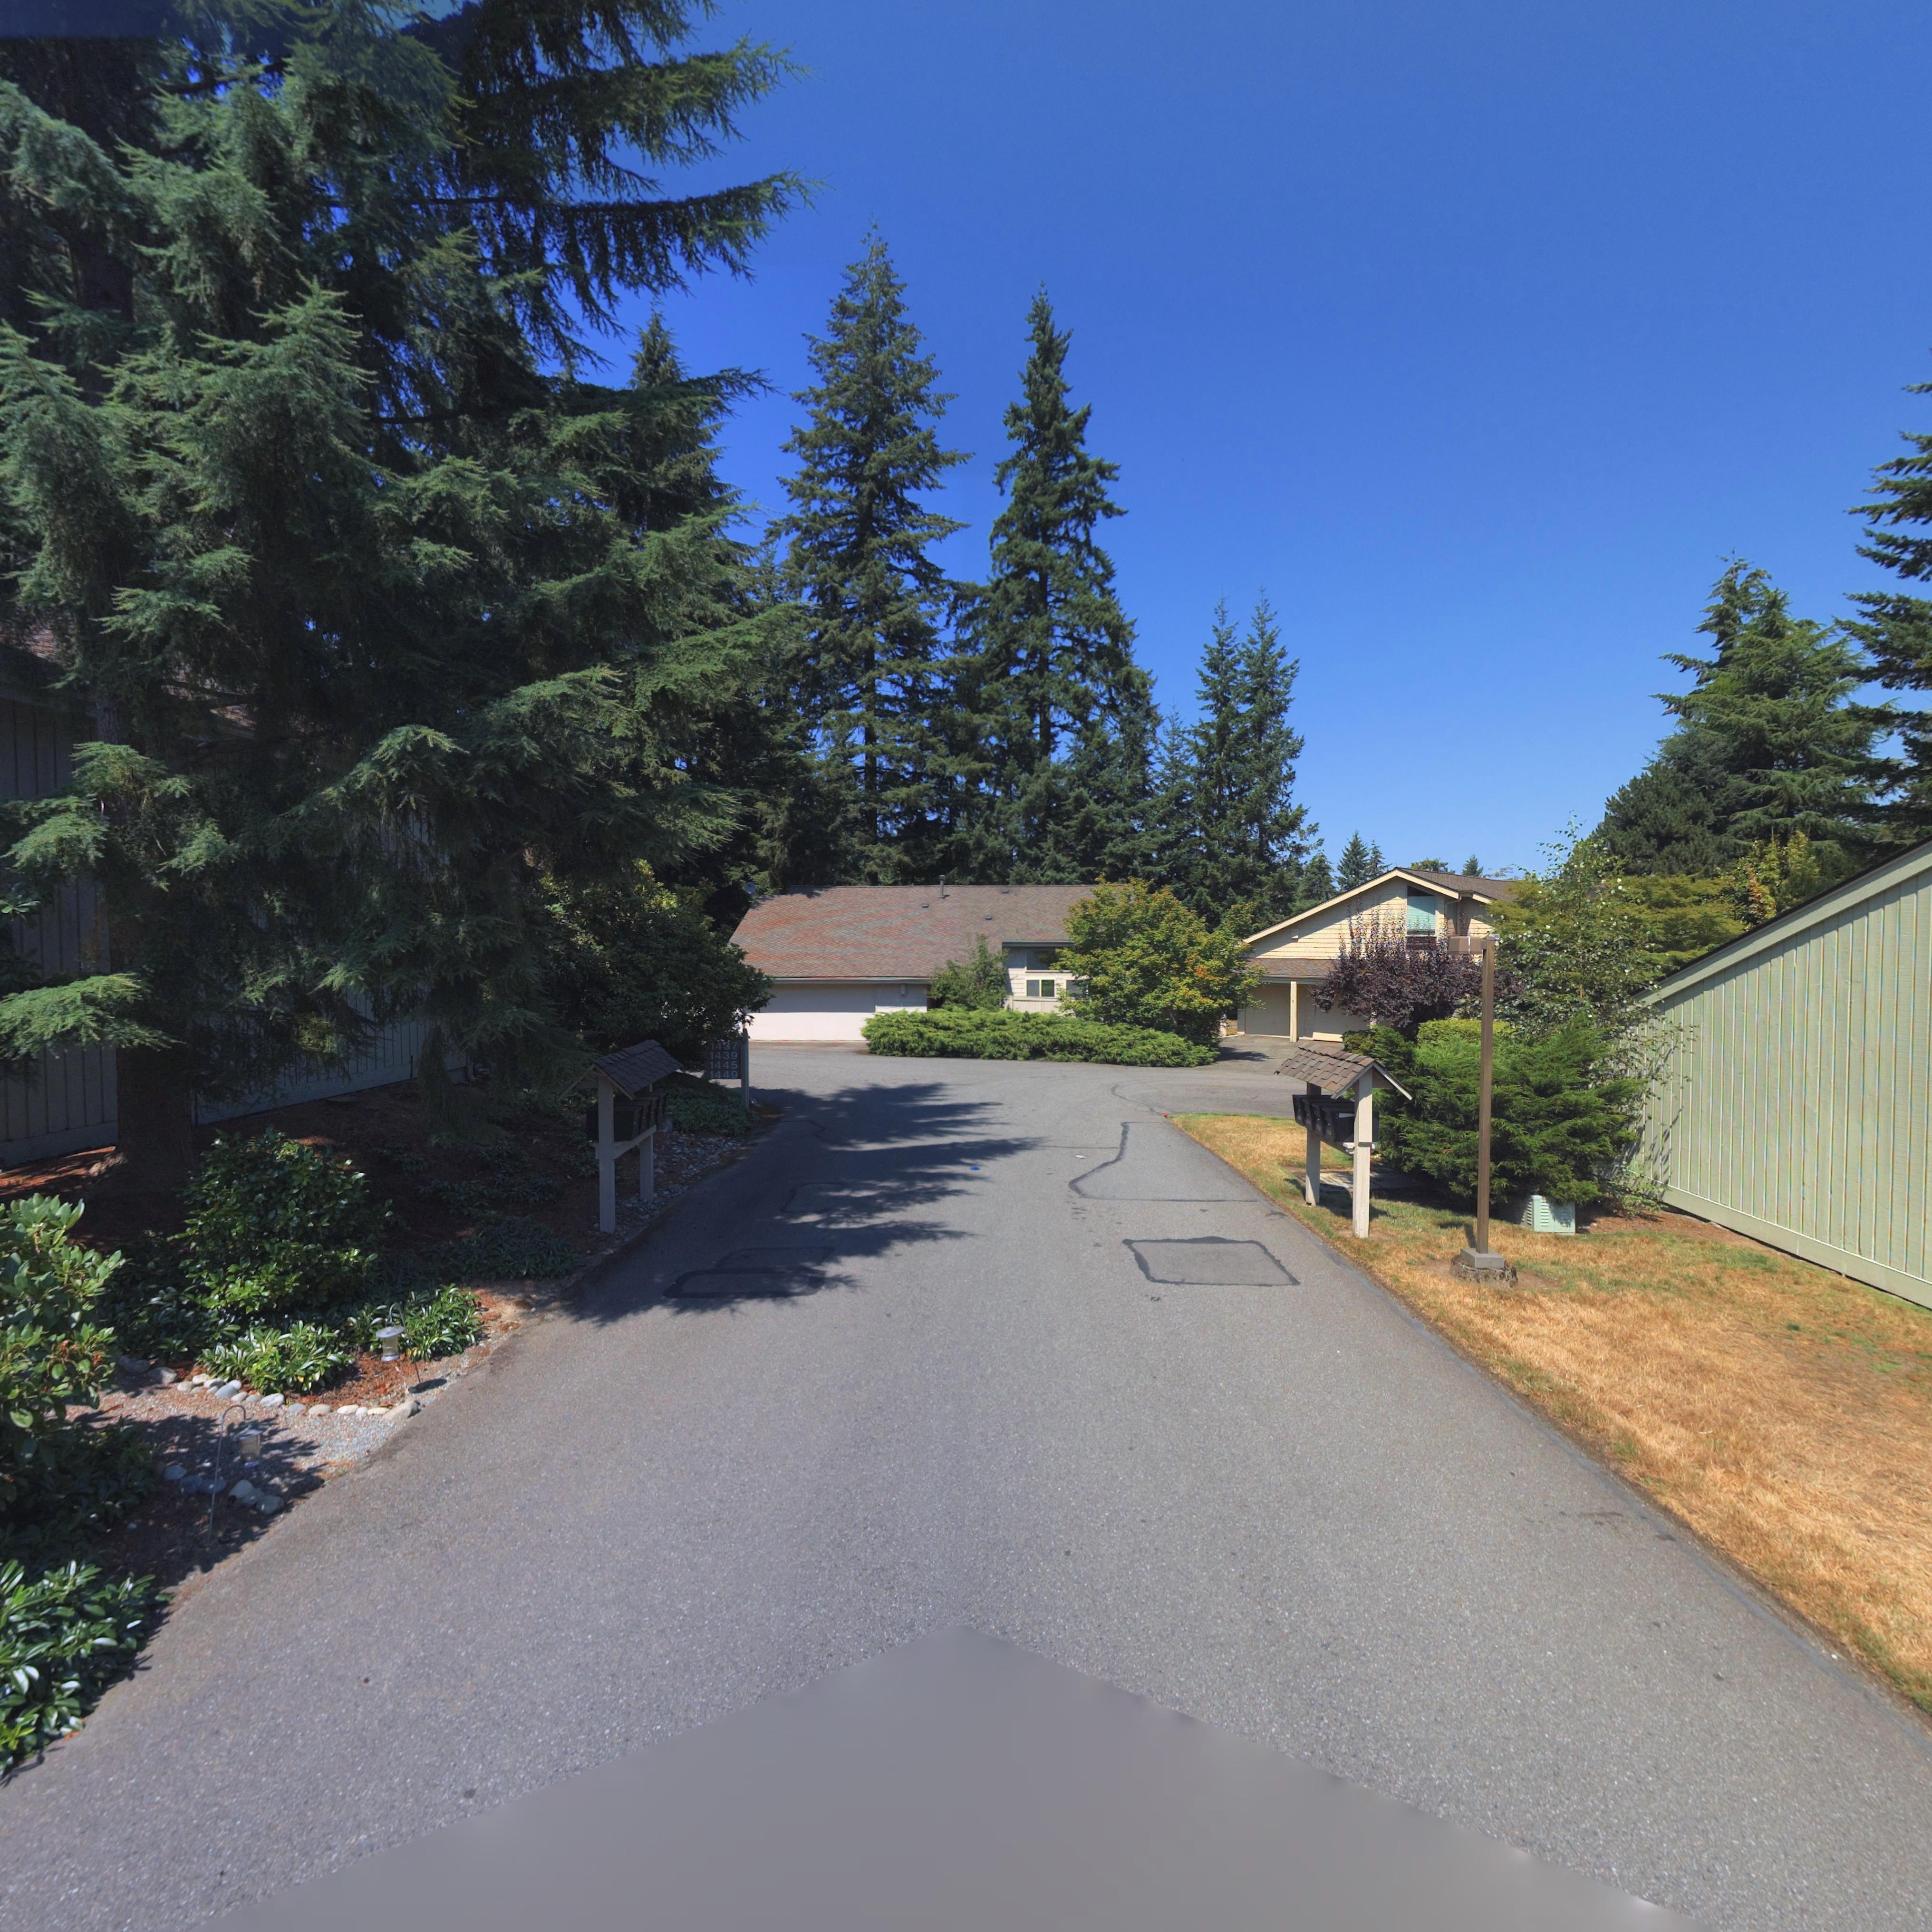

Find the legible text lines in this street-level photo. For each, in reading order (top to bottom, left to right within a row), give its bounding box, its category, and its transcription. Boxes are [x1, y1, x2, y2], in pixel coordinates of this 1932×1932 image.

[709, 1041, 739, 1051] StreetNumber: 1437
[709, 1051, 737, 1060] StreetNumber: 1439
[709, 1061, 738, 1069] StreetNumber: 1445
[710, 1071, 737, 1078] StreetNumber: 1449